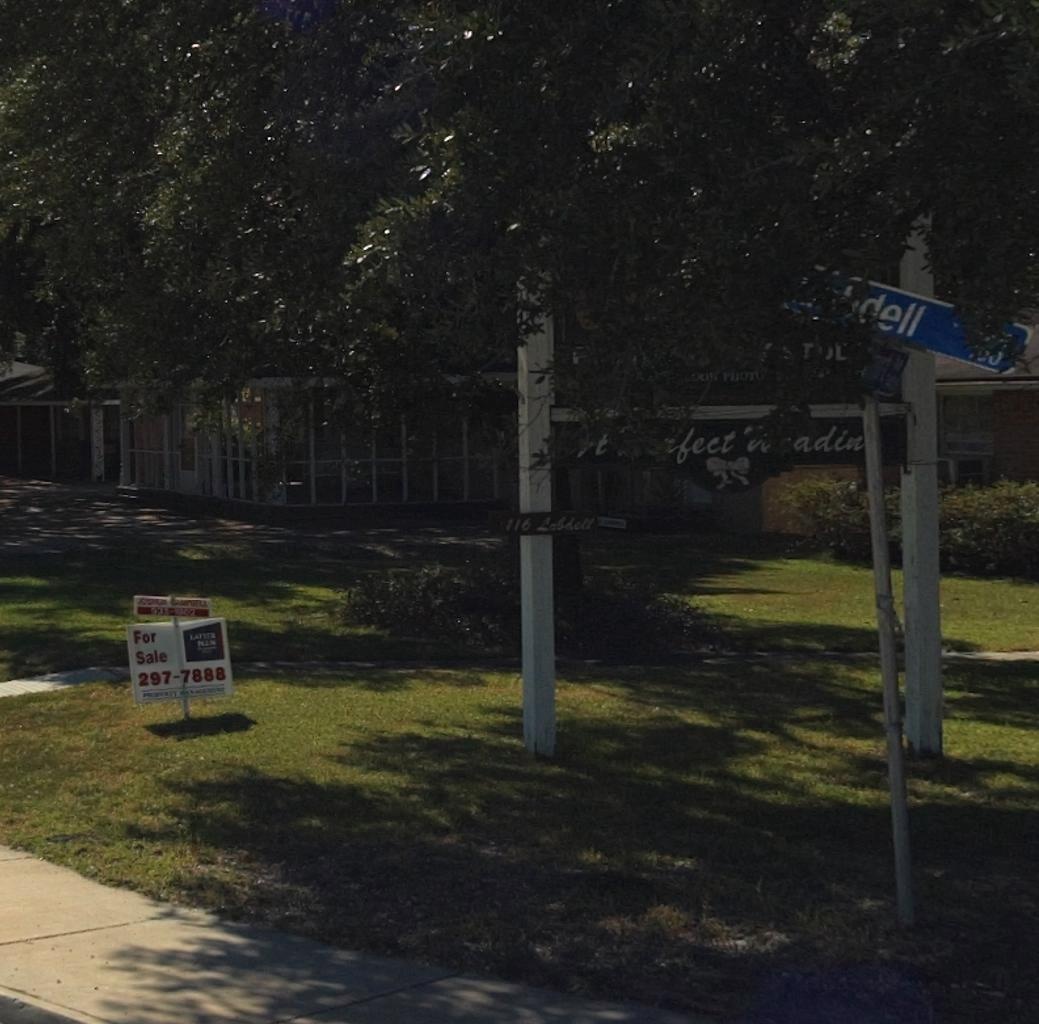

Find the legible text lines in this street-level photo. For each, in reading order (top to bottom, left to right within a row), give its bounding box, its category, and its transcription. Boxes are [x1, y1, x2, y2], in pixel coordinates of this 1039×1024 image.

[870, 298, 932, 344] StreetName: ell
[673, 423, 740, 467] None: fect
[792, 420, 868, 455] None: adin
[503, 516, 533, 534] StreetNumber: 116
[533, 513, 598, 533] StreetName: Lo*dell
[131, 627, 160, 647] None: For
[135, 645, 170, 668] None: Sale
[135, 663, 229, 689] None: 297-7888